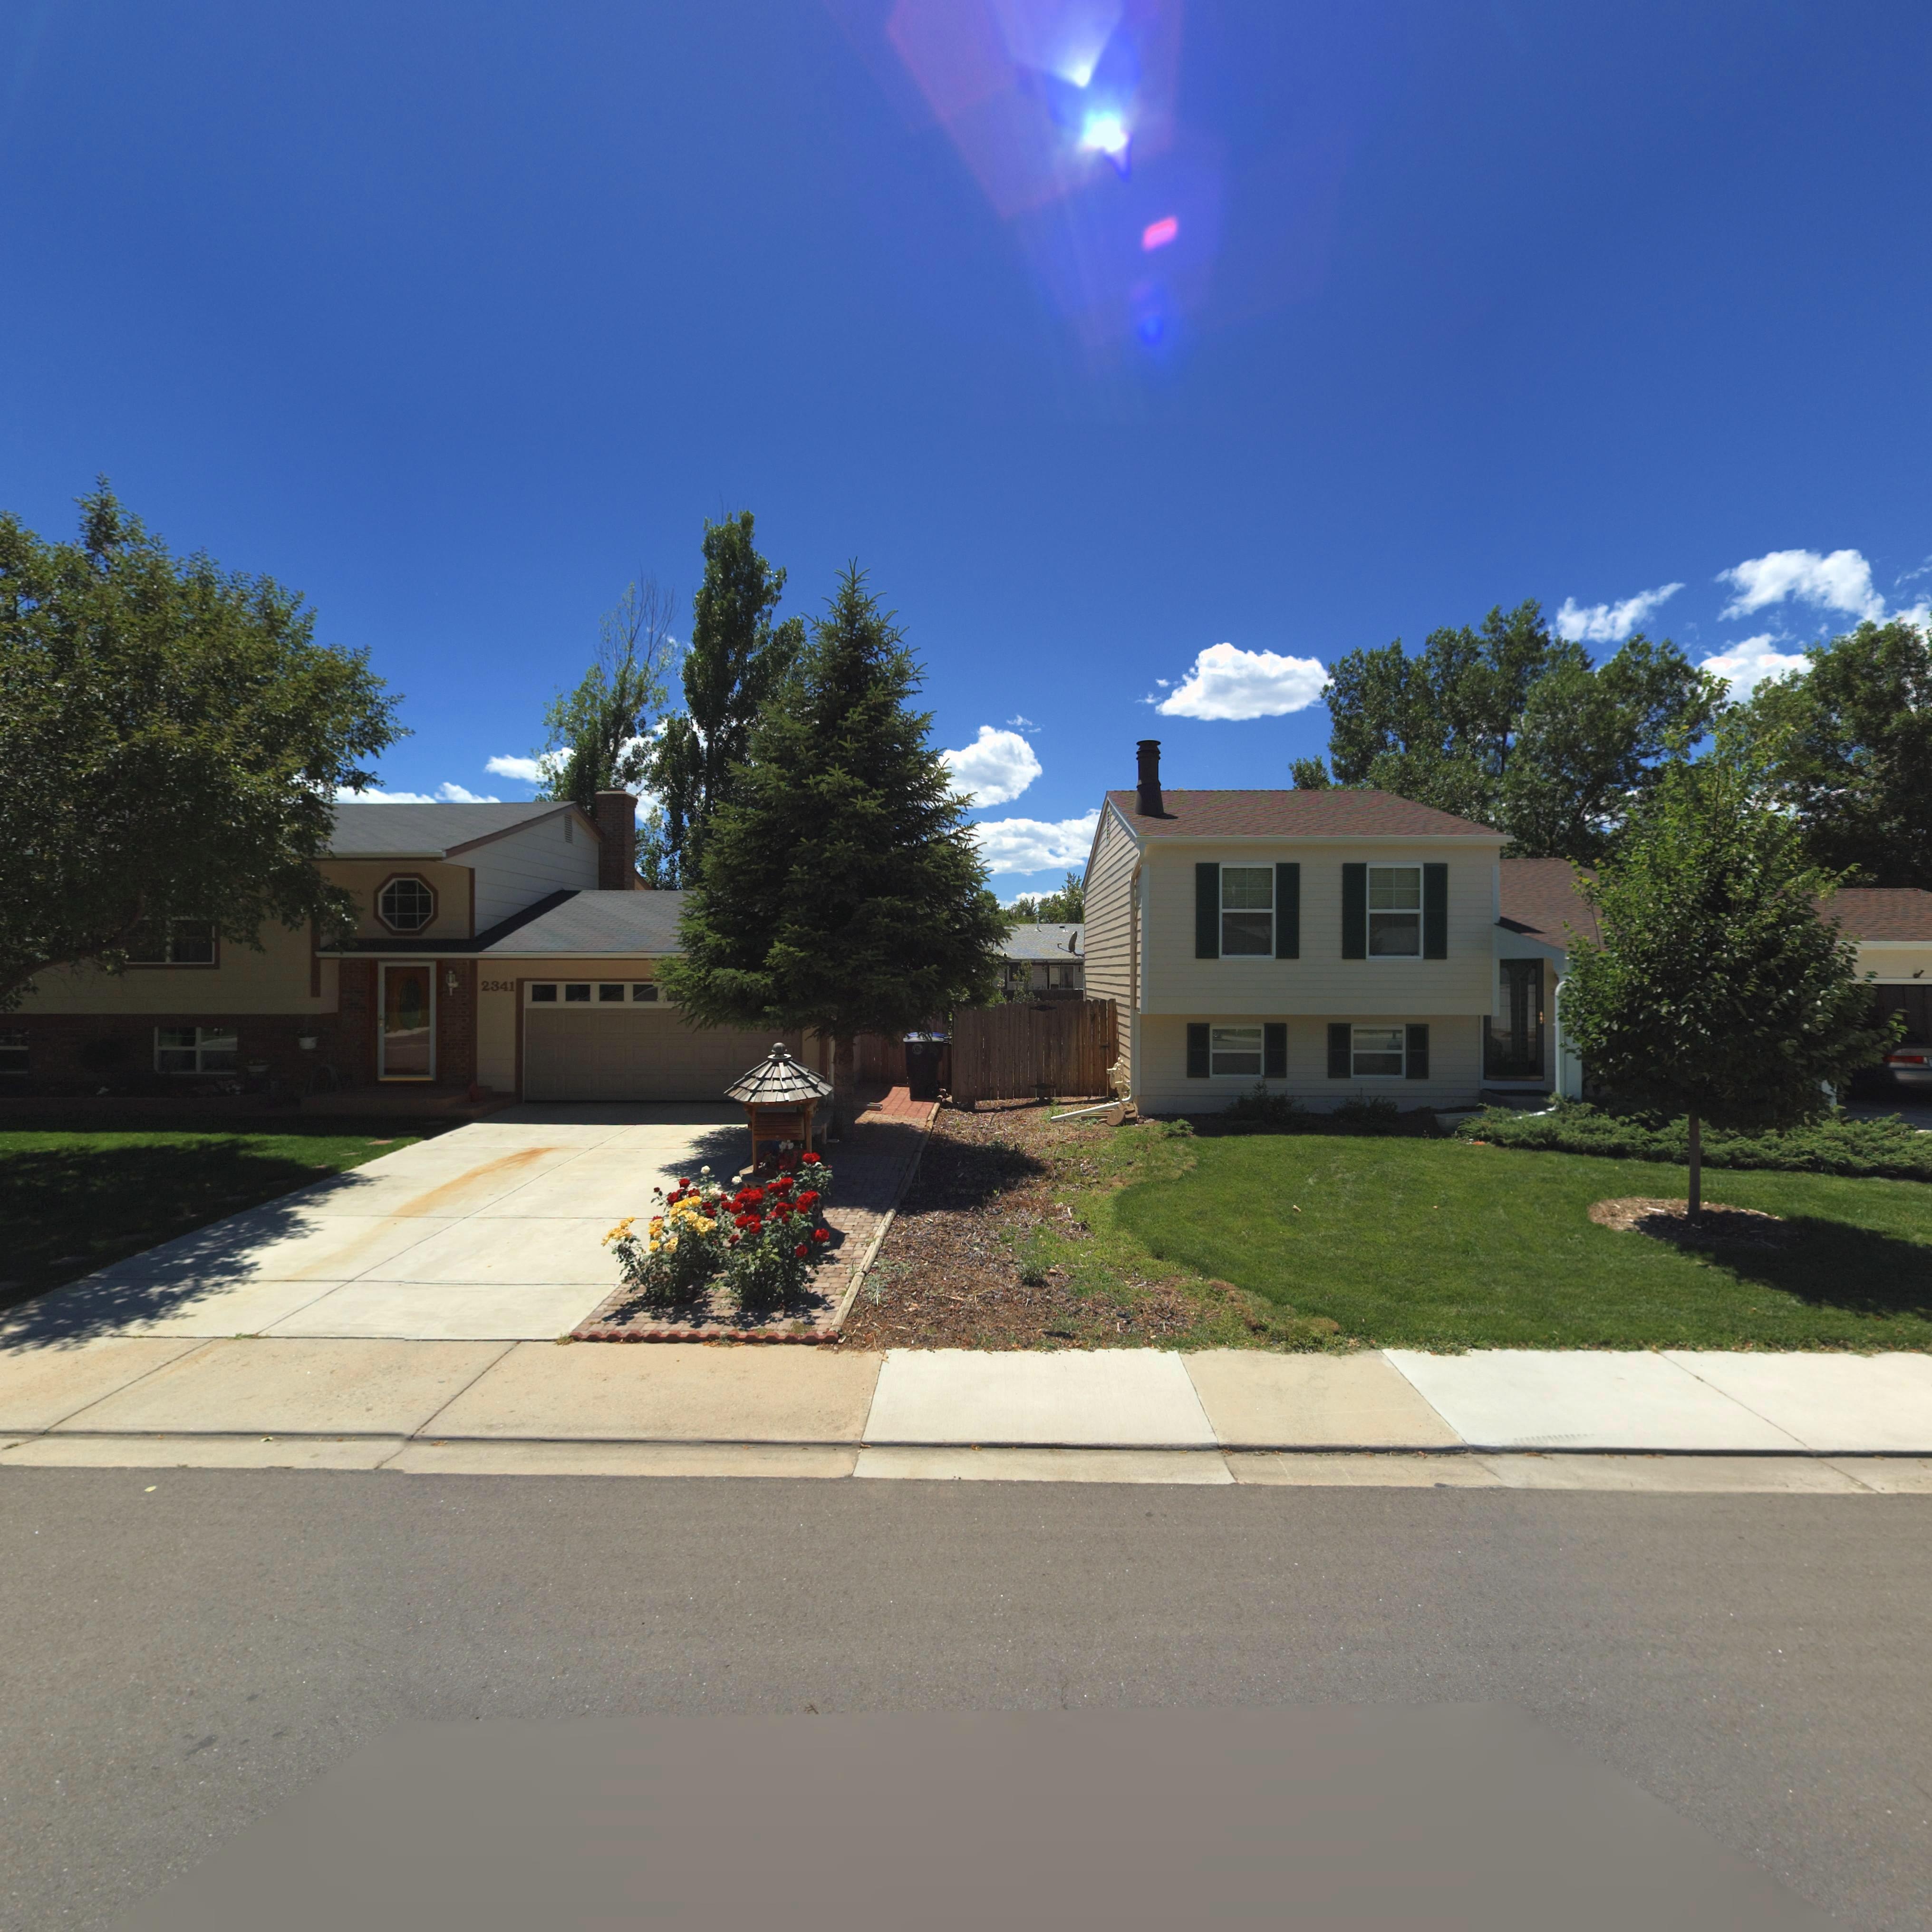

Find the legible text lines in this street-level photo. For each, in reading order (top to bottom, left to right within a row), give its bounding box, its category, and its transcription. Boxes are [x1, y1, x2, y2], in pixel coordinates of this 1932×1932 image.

[481, 980, 514, 991] StreetNumber: 2341
[1550, 987, 1555, 995] StreetNumber: 2